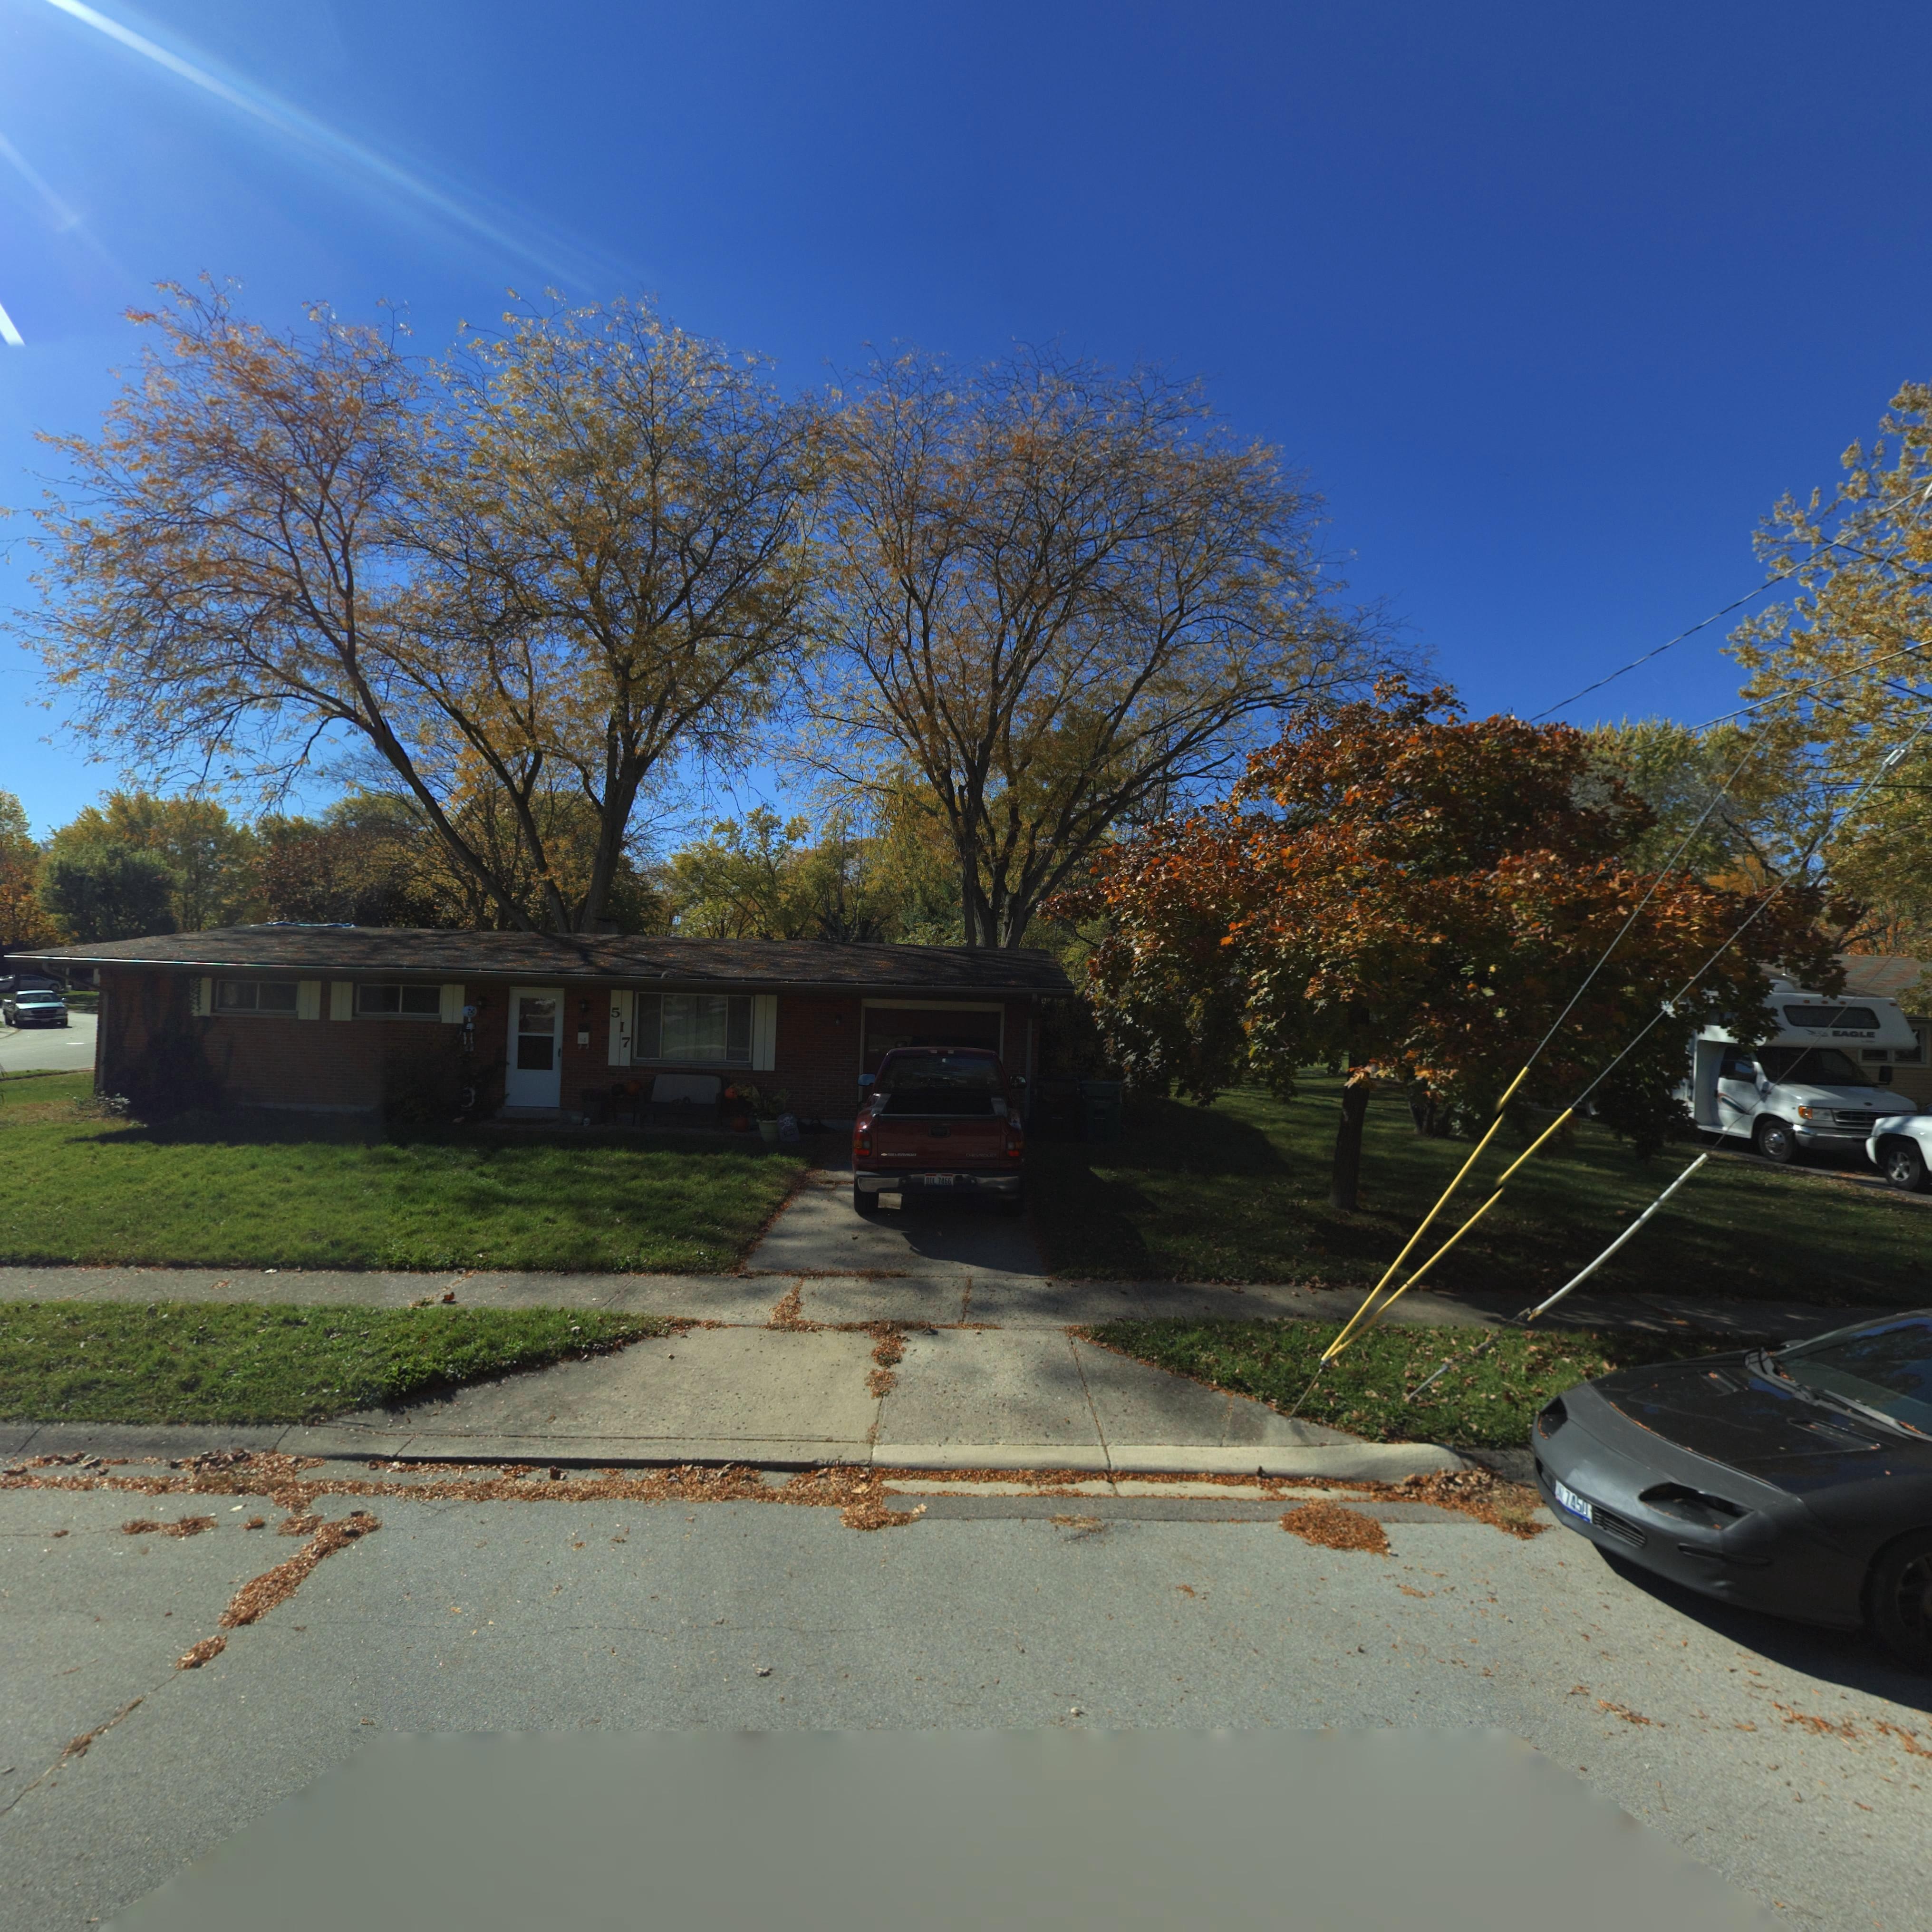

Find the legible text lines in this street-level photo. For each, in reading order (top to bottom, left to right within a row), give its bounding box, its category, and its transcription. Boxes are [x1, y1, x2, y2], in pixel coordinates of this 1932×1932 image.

[610, 1006, 632, 1049] StreetNumber: 517